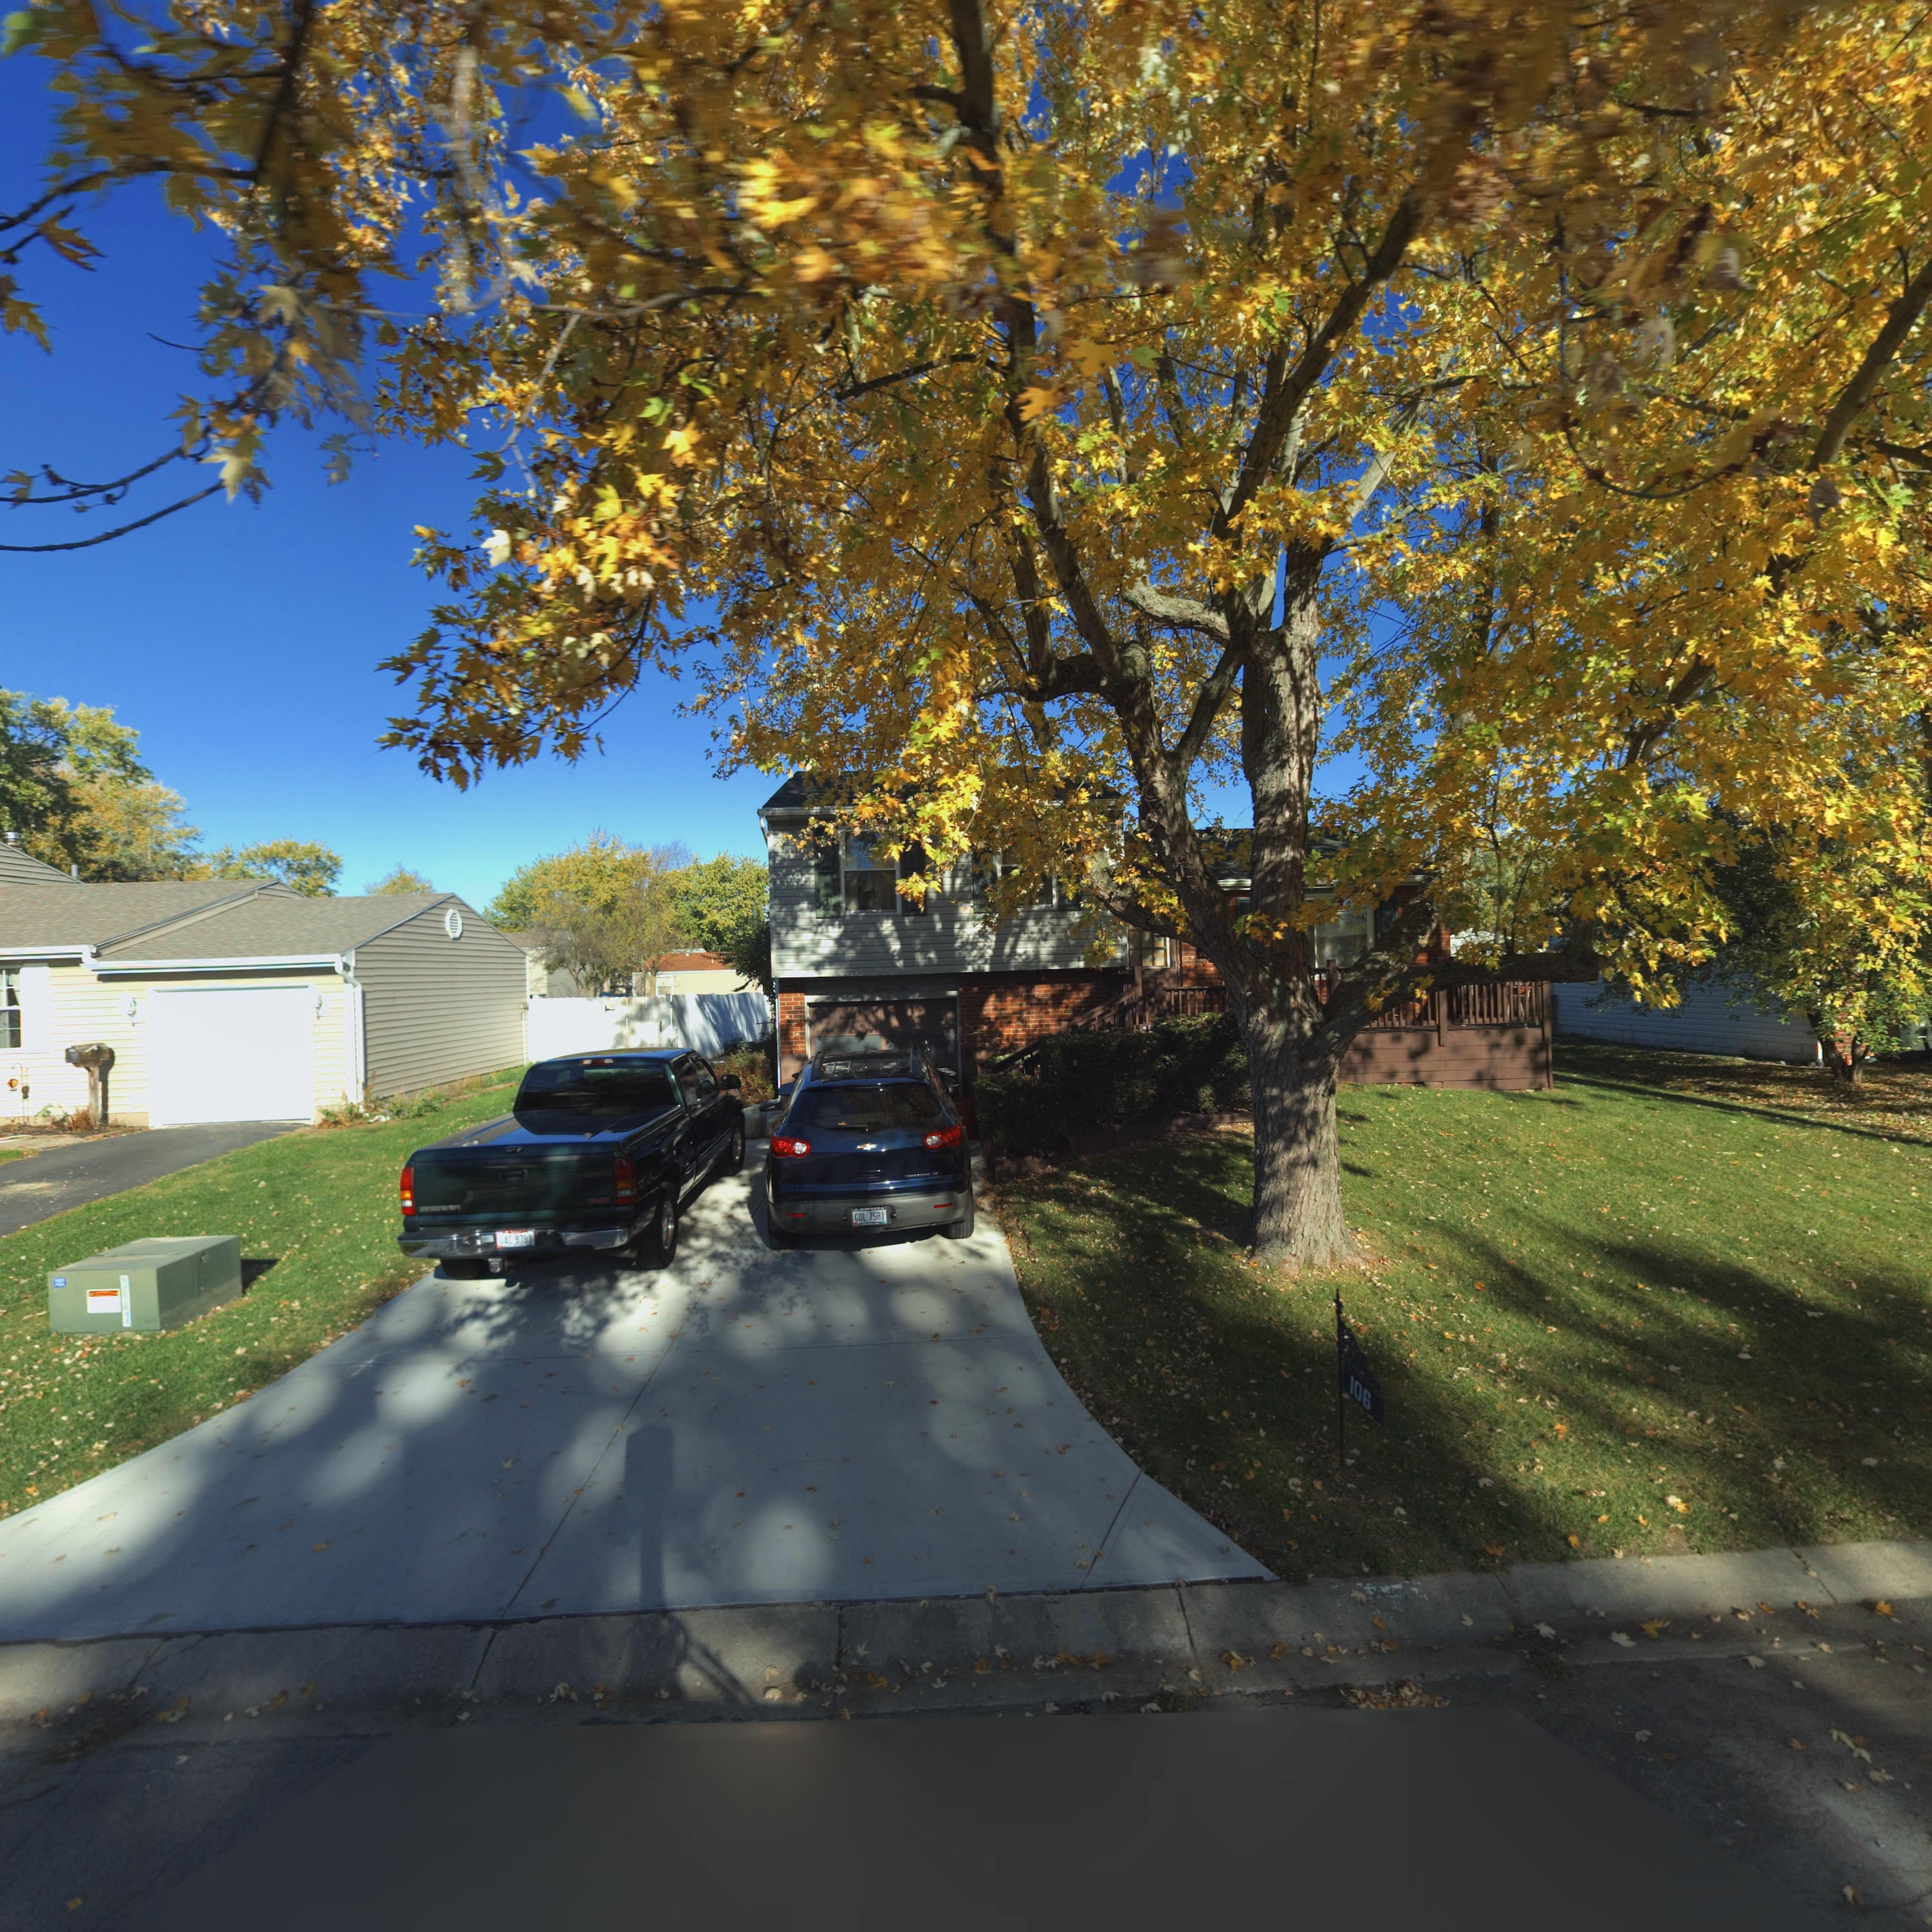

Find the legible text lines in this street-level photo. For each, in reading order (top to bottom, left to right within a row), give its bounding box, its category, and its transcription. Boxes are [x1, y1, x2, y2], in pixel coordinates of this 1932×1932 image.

[857, 985, 909, 993] StreetNumber: One Hundred S**
[1349, 1373, 1372, 1411] StreetNumber: 106